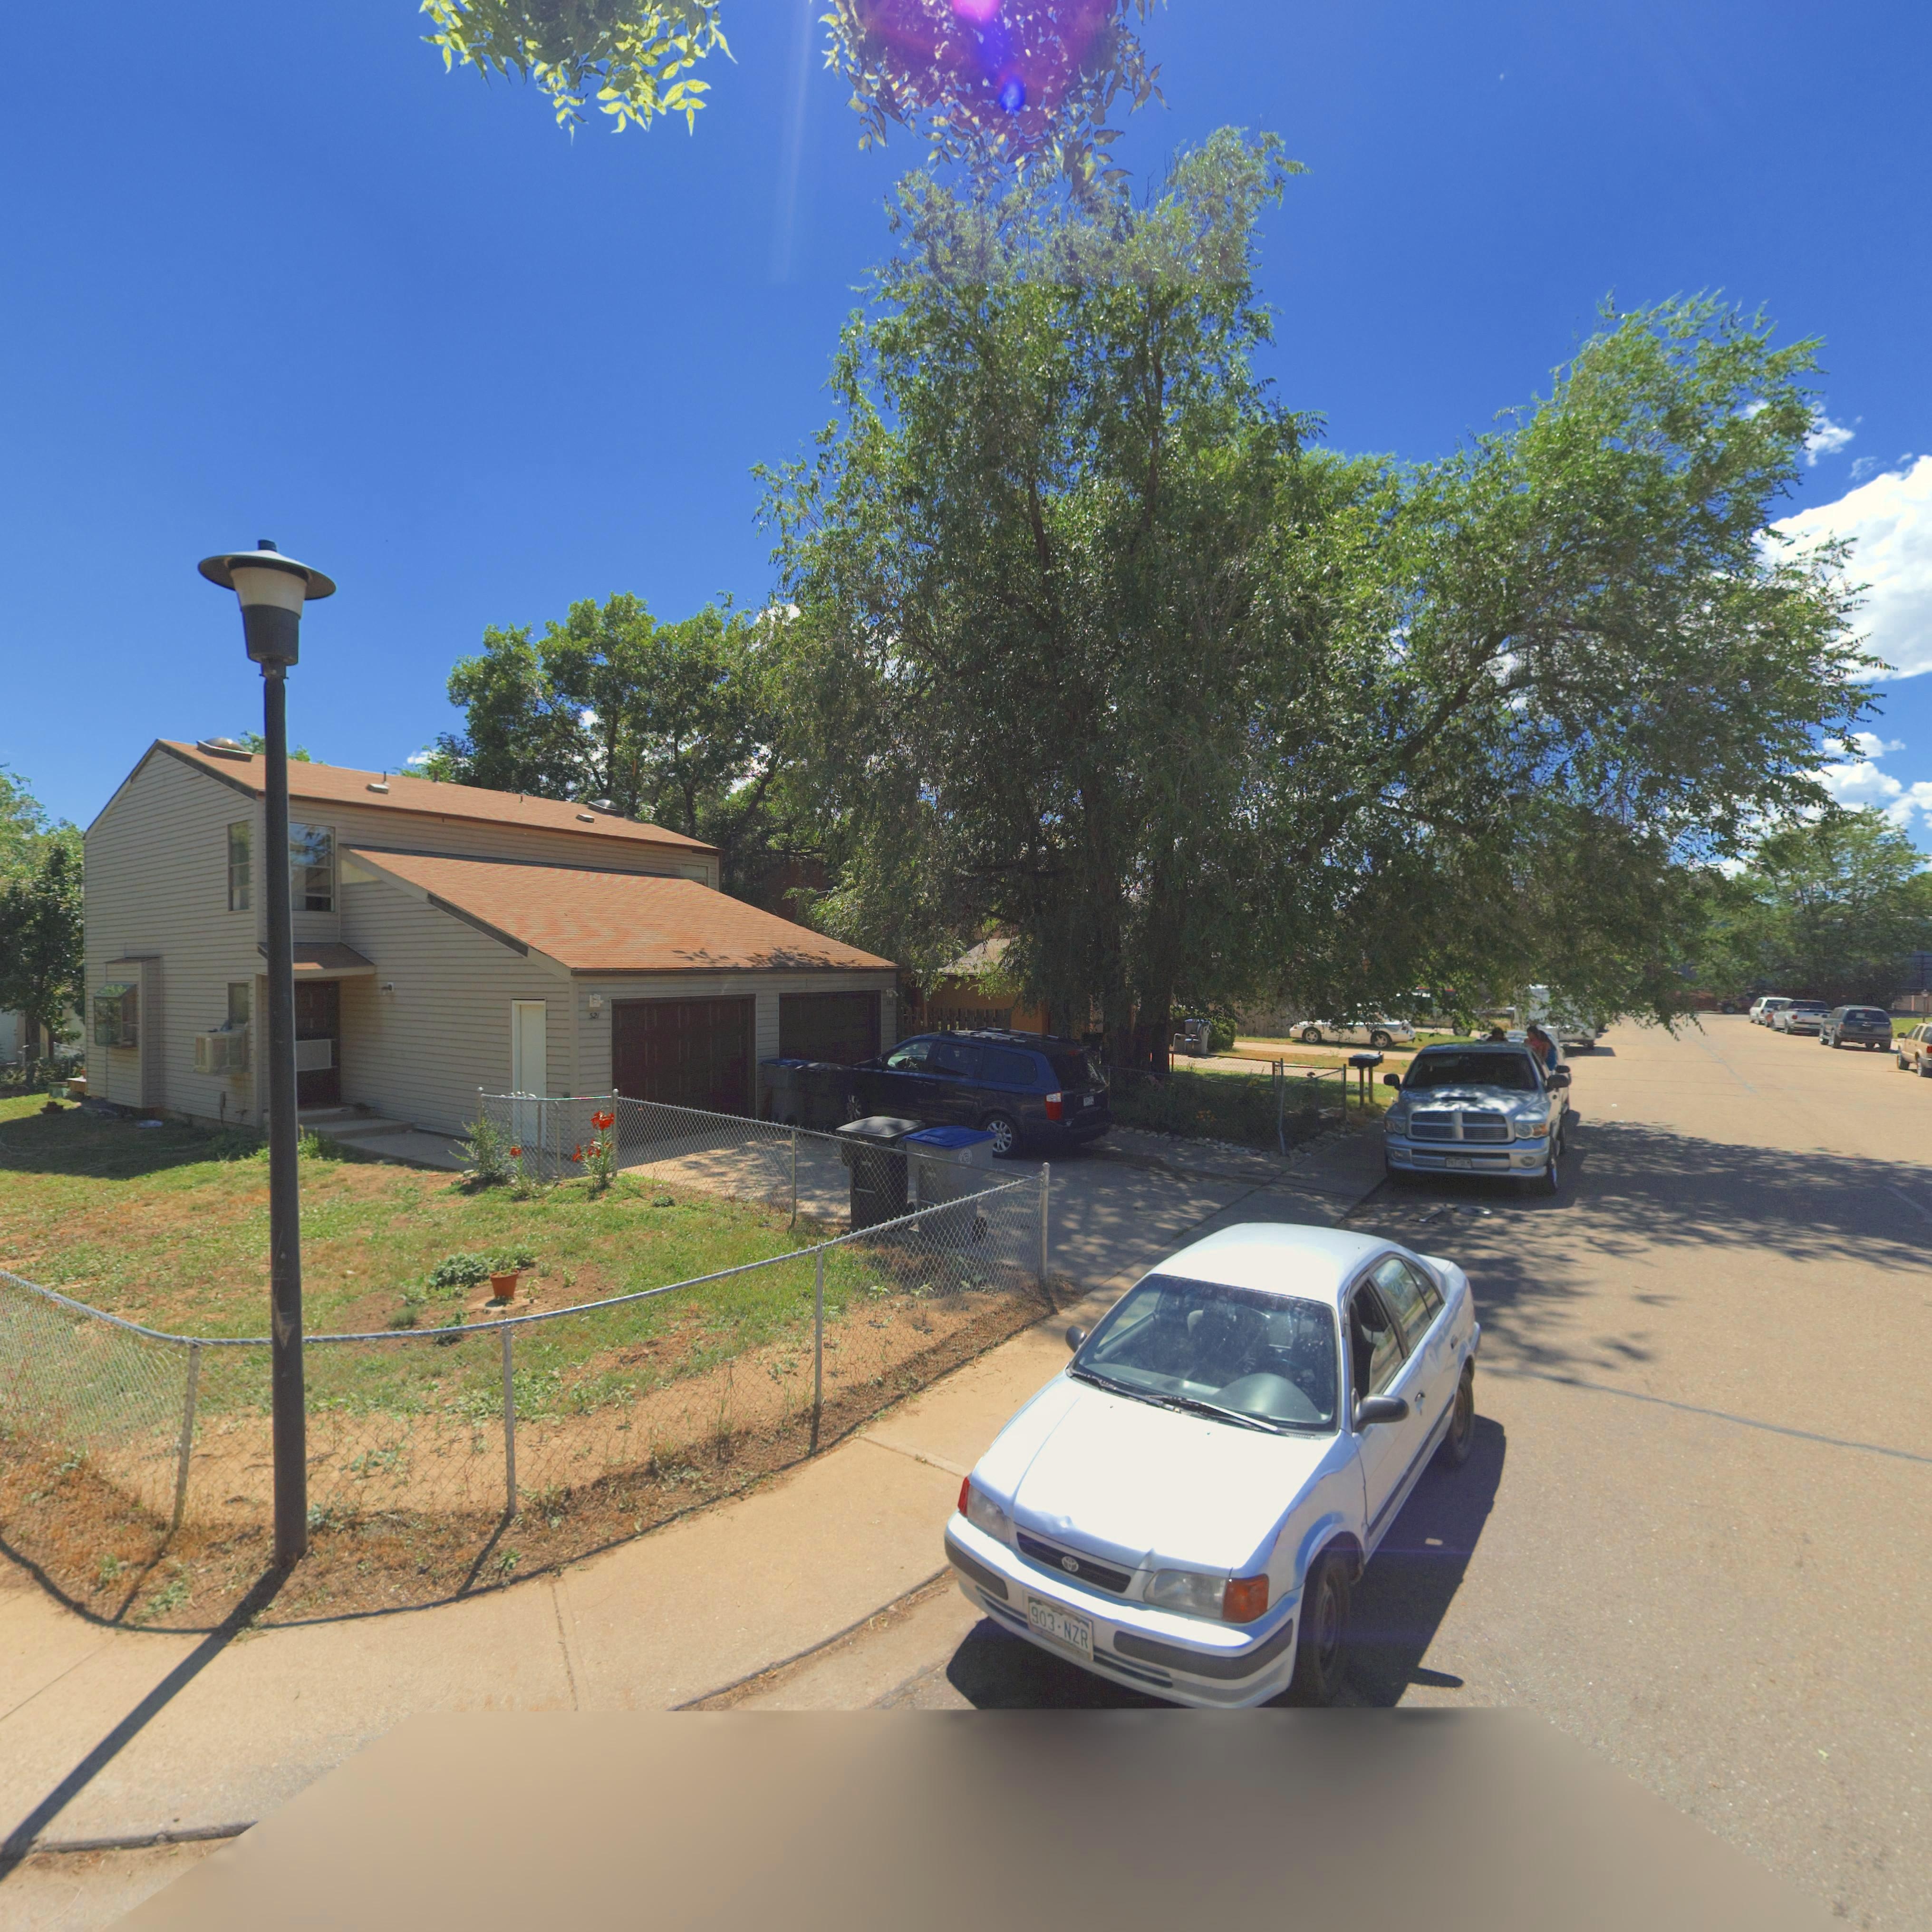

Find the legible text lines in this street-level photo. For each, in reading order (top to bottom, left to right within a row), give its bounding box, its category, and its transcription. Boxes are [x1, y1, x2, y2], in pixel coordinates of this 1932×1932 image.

[886, 999, 894, 1005] StreetNumber: 325
[588, 1012, 600, 1019] StreetNumber: 321